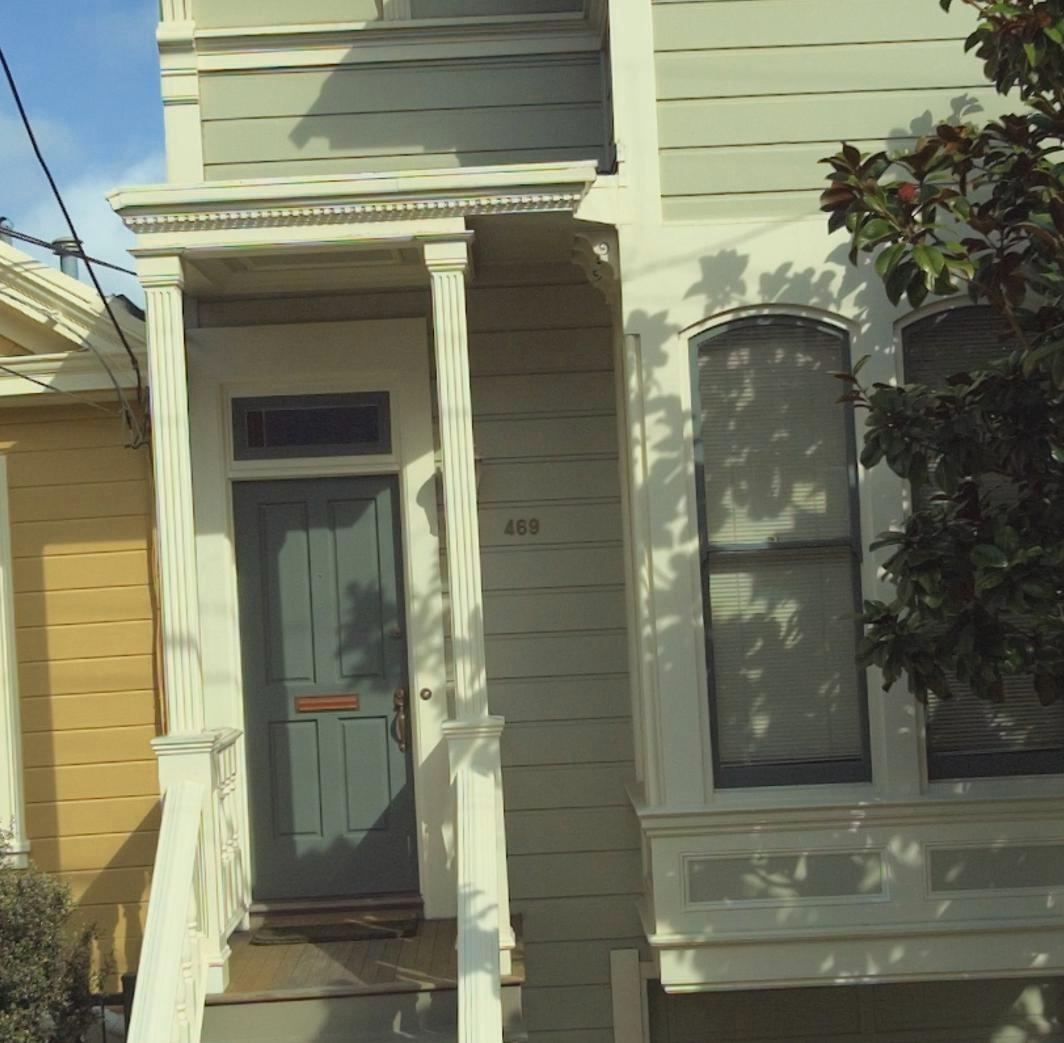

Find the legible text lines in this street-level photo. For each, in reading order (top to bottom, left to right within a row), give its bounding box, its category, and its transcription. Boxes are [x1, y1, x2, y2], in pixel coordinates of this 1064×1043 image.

[502, 518, 540, 537] StreetNumber: 469